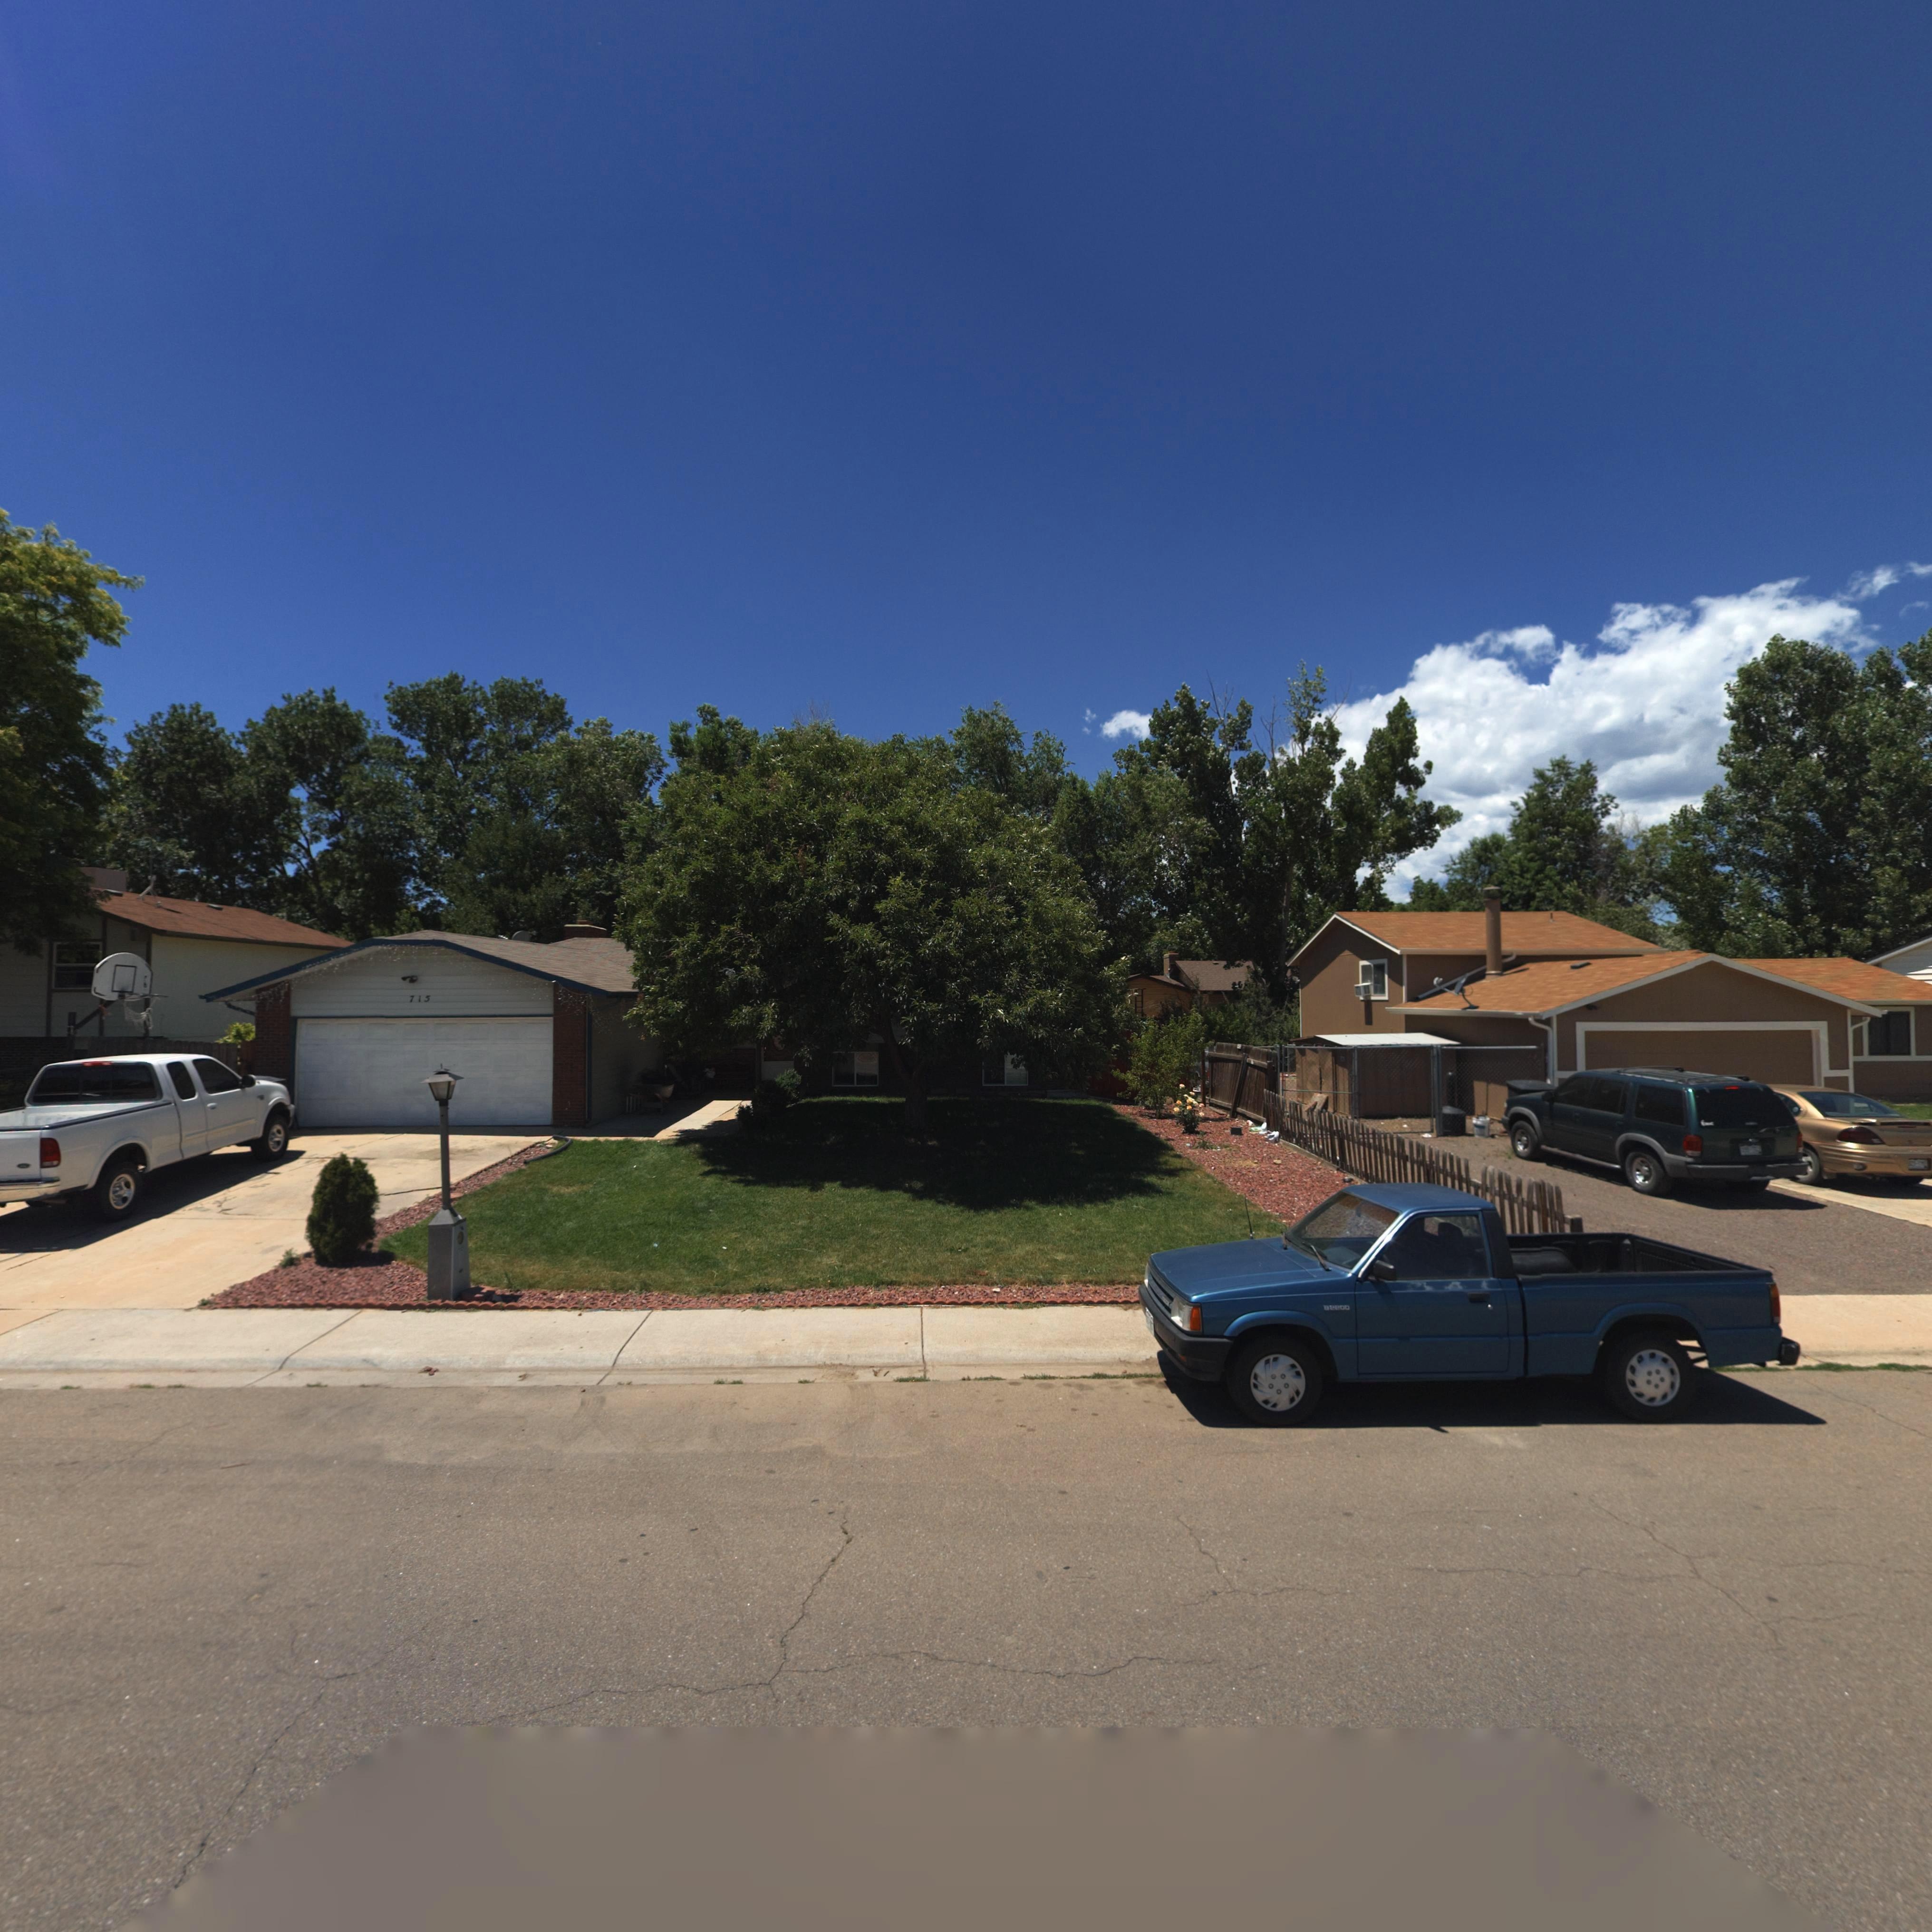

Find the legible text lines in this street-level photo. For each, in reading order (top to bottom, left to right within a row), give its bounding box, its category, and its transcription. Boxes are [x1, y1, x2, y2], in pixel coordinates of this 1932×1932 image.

[409, 995, 430, 1002] StreetNumber: 715